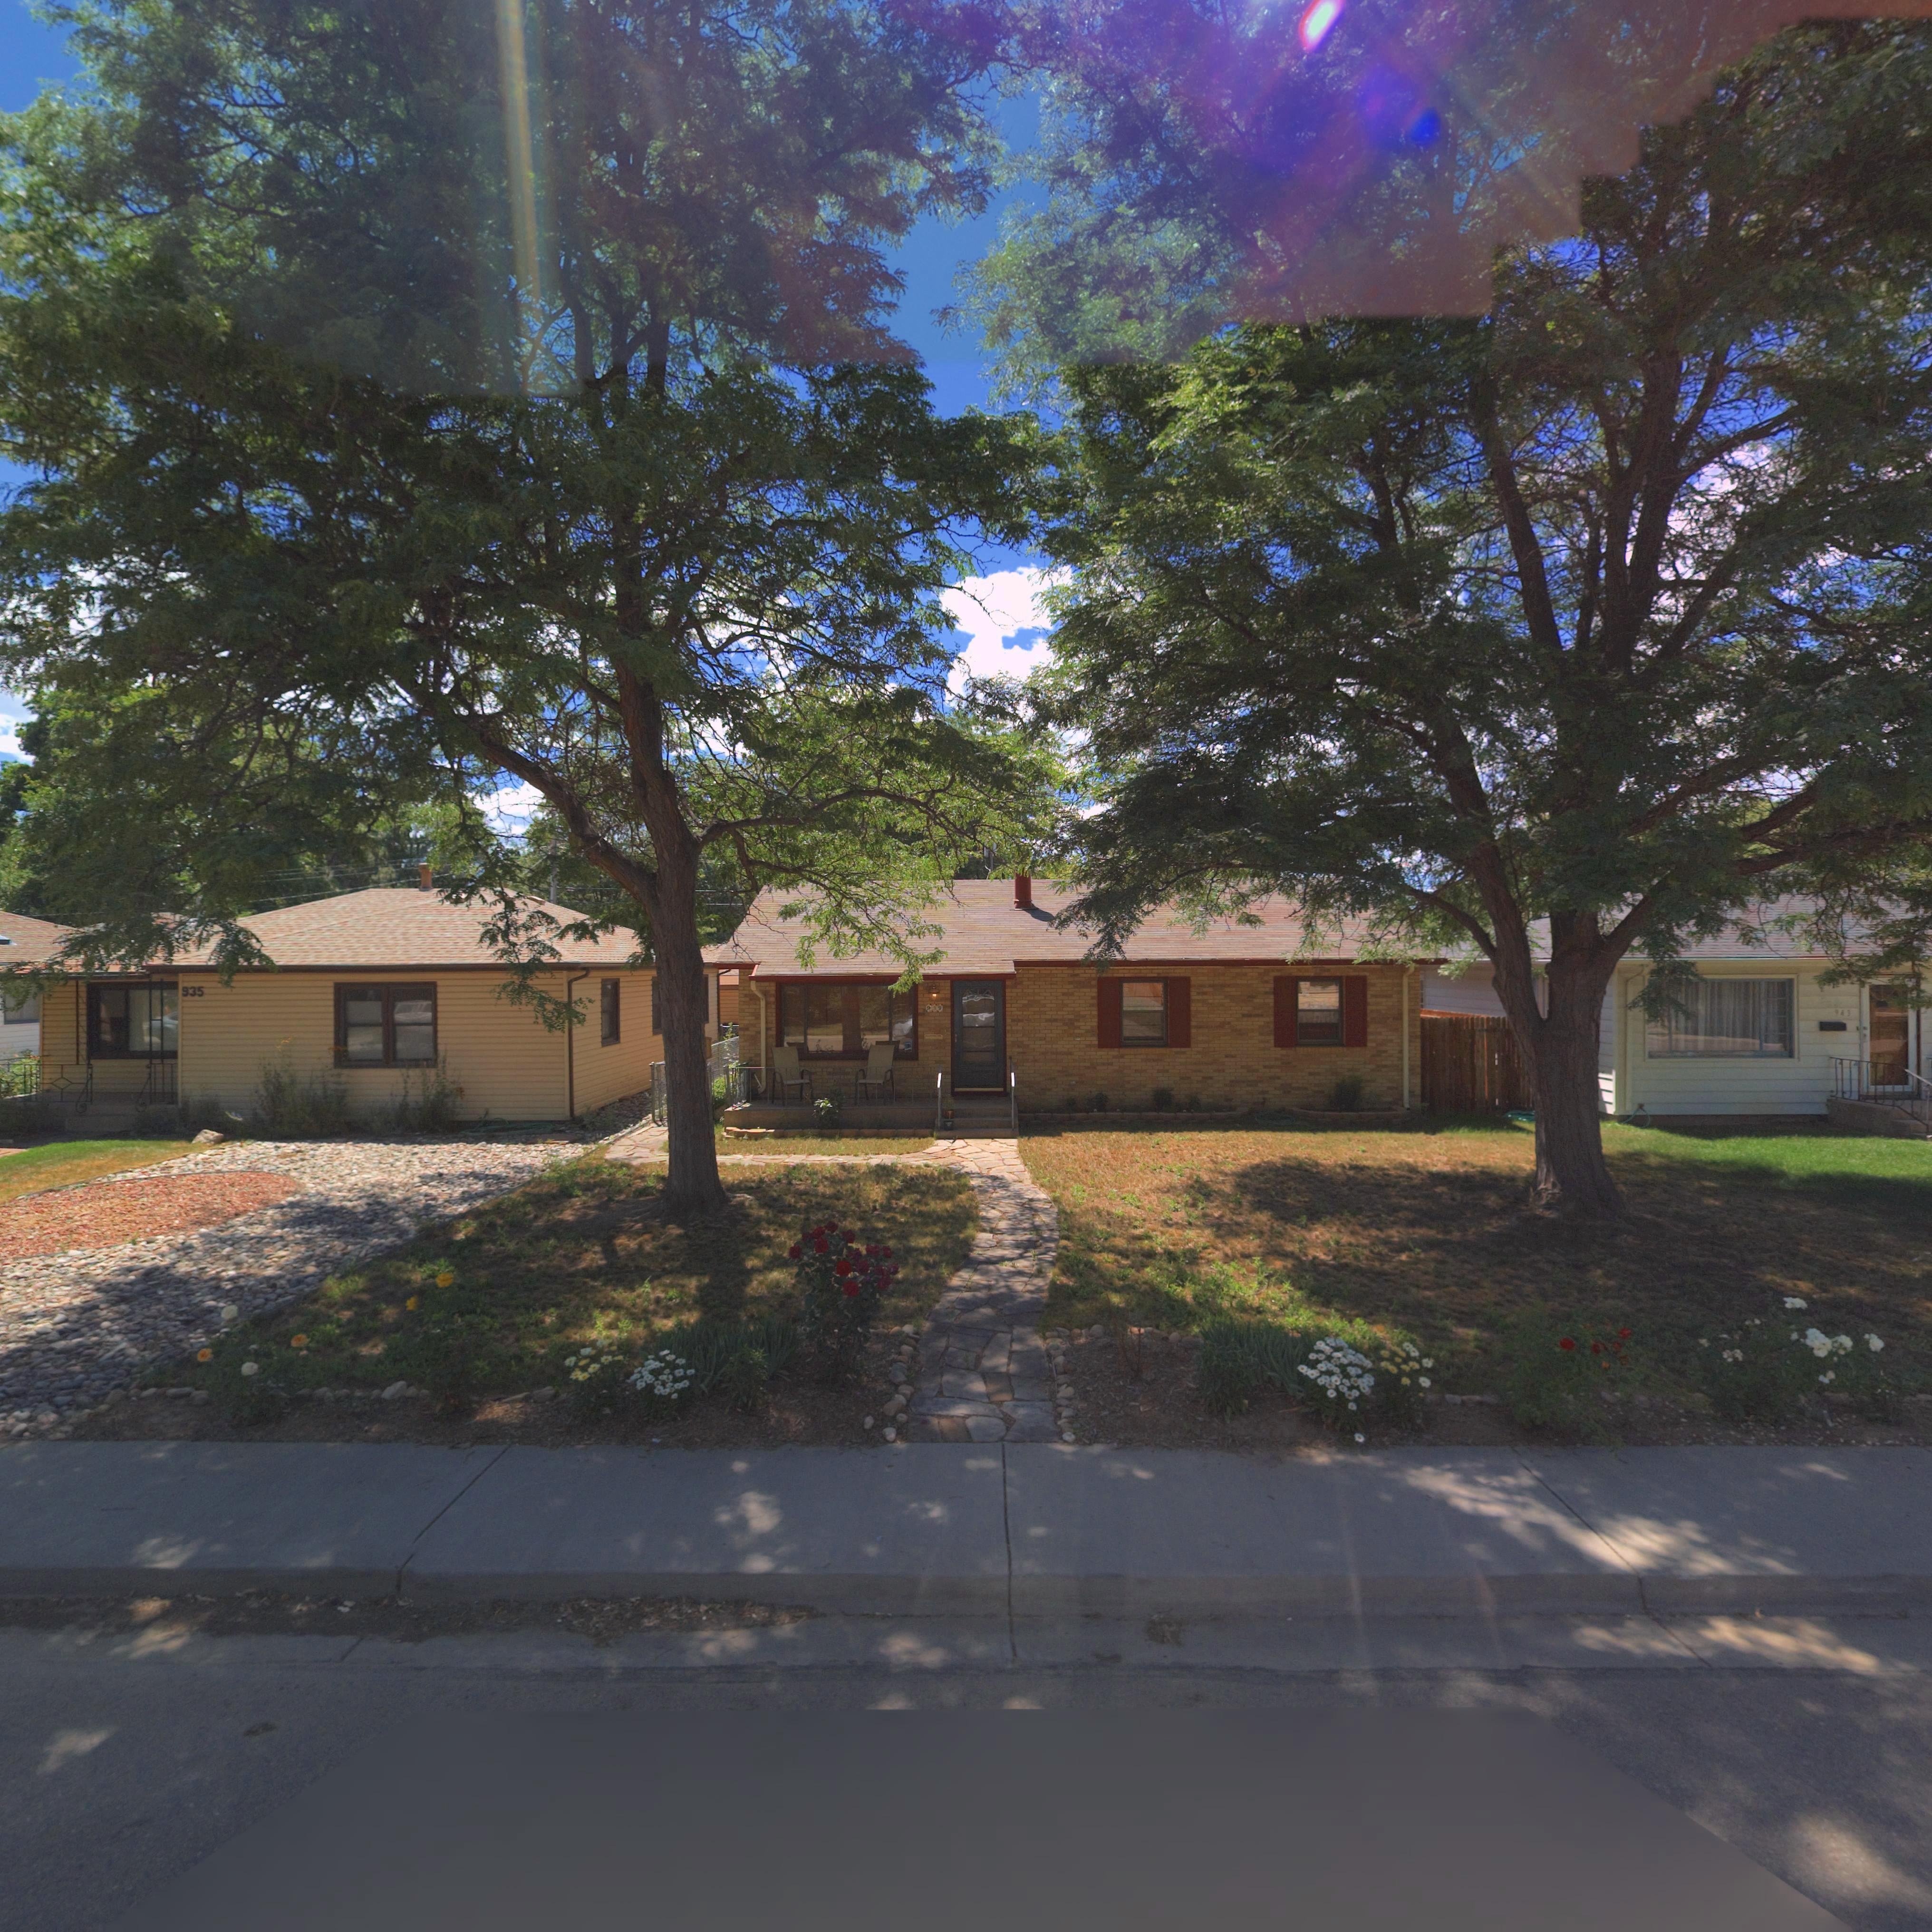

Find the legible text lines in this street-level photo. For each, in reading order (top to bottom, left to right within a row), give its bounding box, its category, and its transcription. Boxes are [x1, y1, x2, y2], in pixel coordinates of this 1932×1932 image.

[181, 986, 204, 996] StreetNumber: 935
[927, 1005, 941, 1010] StreetNumber: 939
[1834, 1008, 1850, 1016] StreetNumber: 943